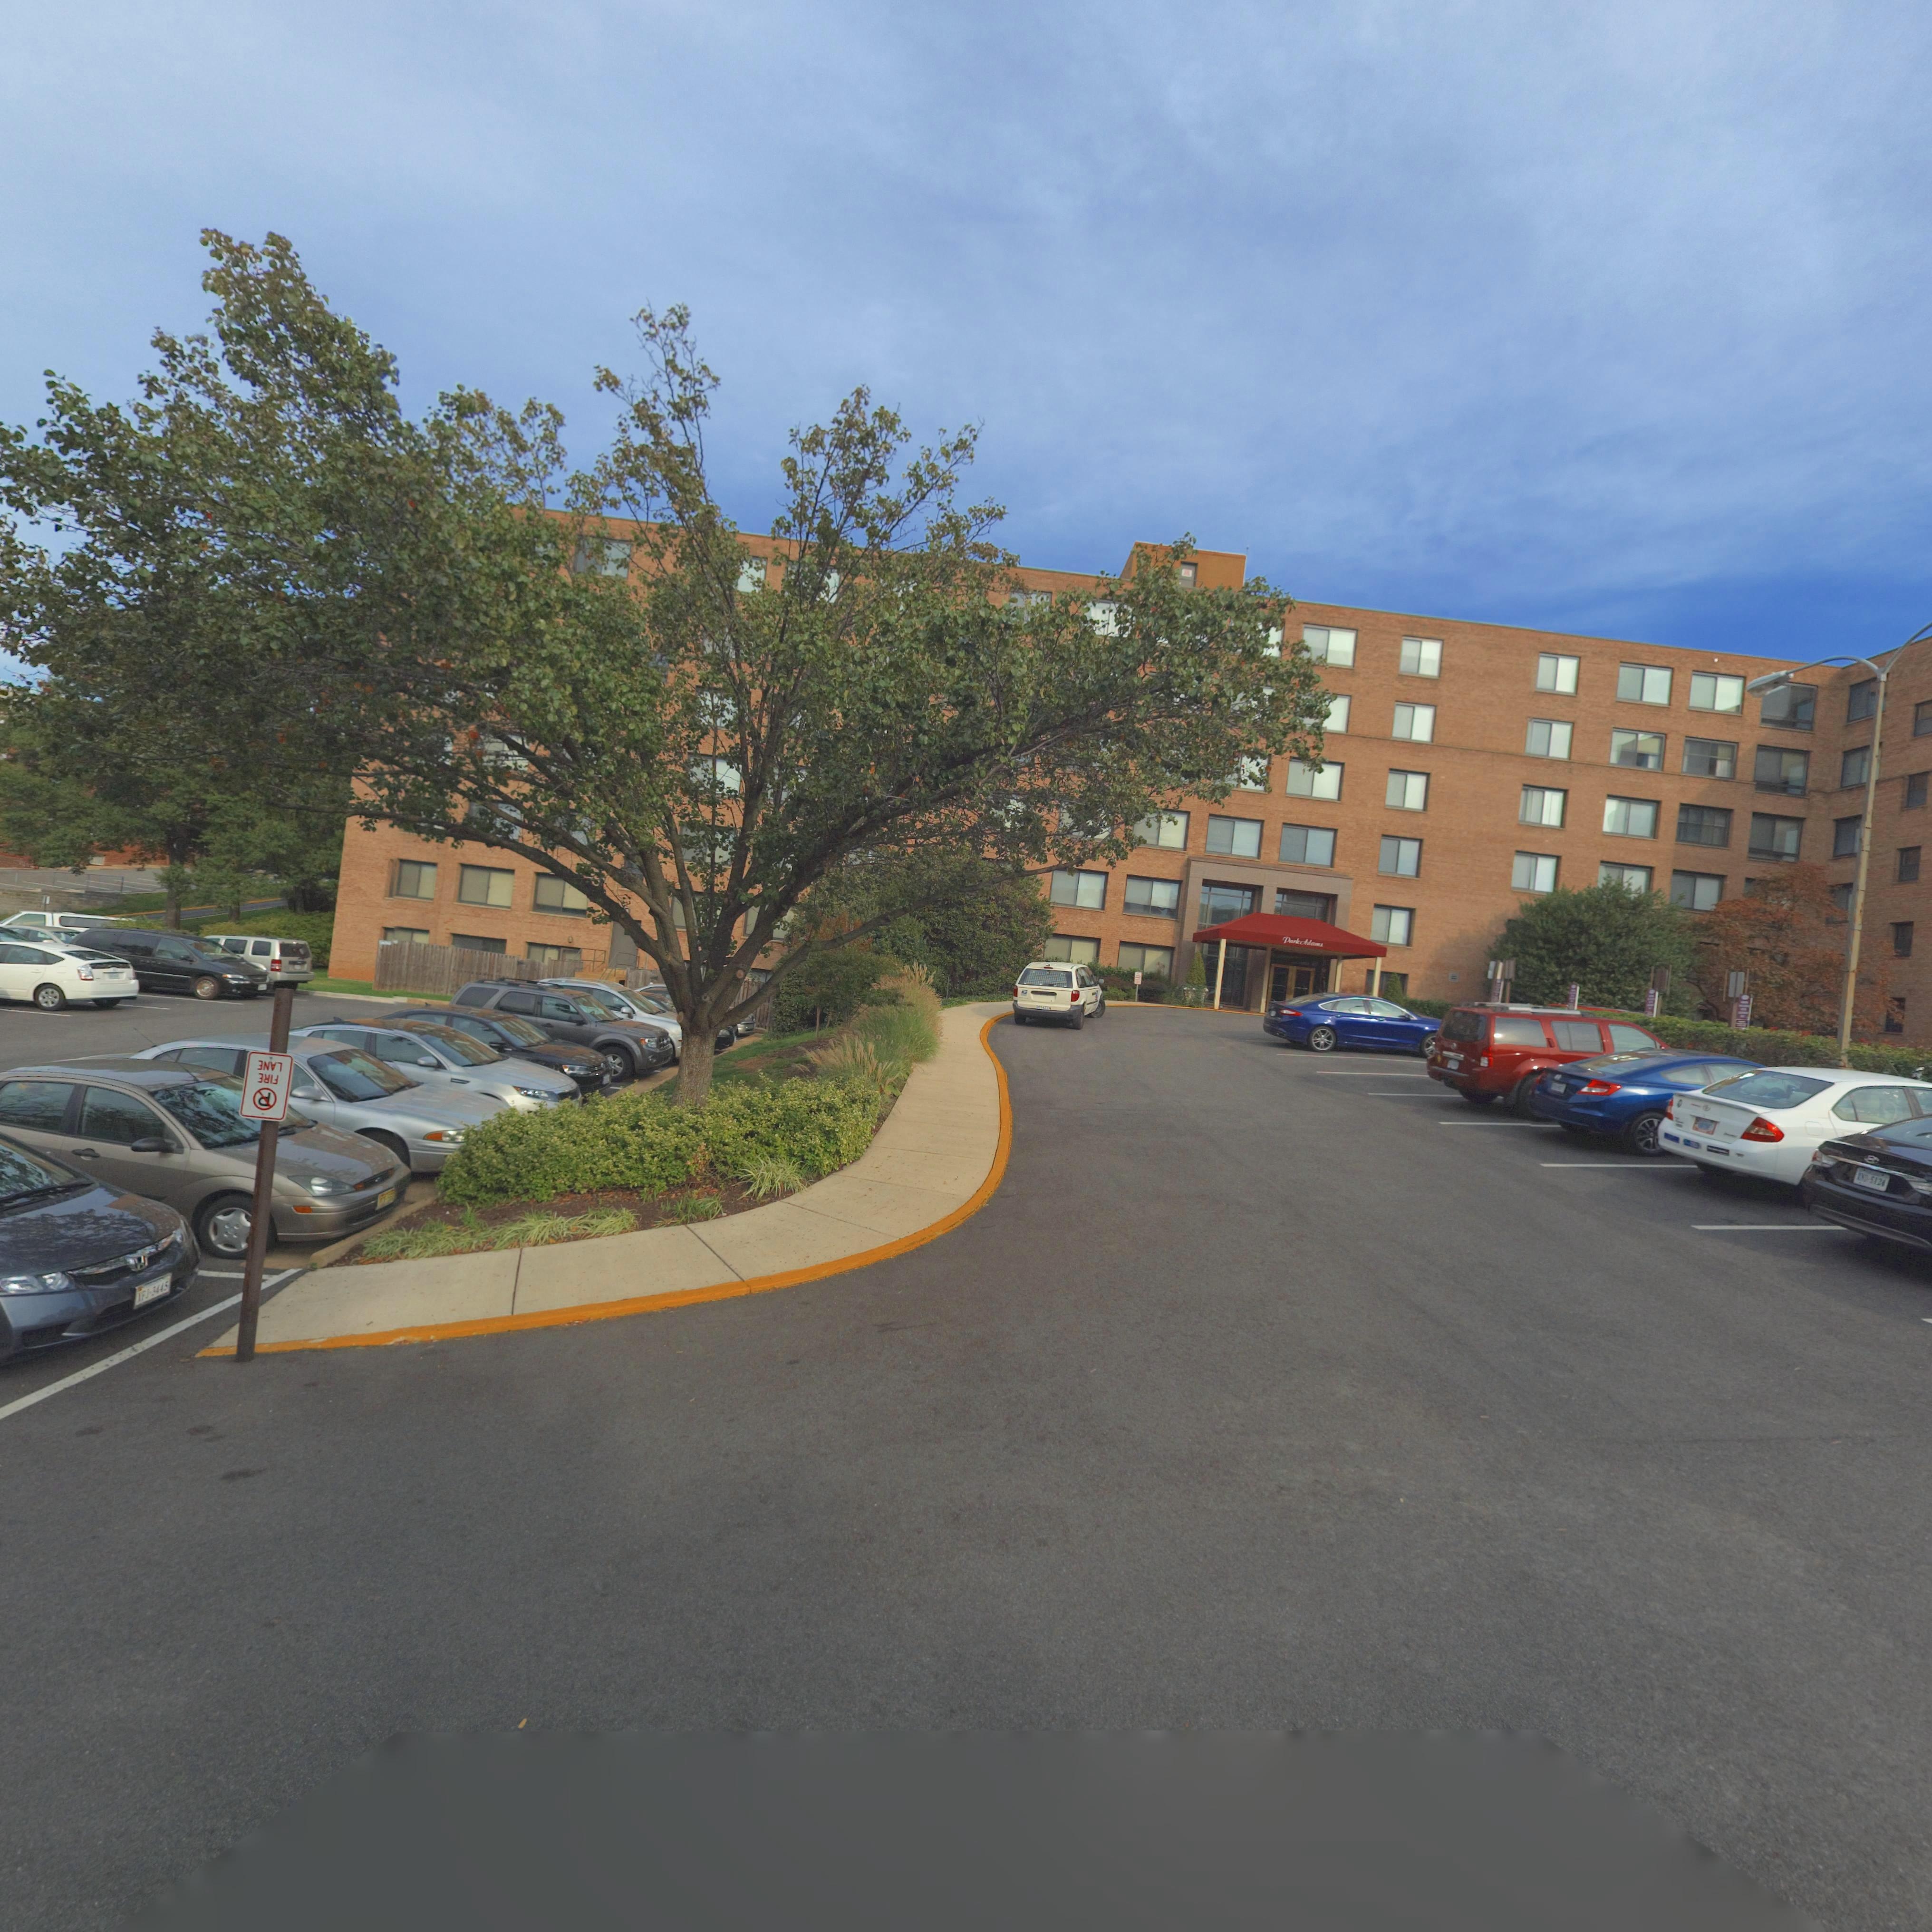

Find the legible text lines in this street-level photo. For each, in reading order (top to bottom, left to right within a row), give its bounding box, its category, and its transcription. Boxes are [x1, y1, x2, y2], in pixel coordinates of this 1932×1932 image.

[1282, 936, 1325, 949] BusinessName: Park Ada*s
[1042, 1005, 1052, 1011] None: 4**4
[257, 1060, 282, 1072] None: *N**
[257, 1072, 280, 1085] None: **I*
[1868, 1175, 1887, 1188] None: 5124
[137, 1280, 169, 1304] None: XFJ-3445